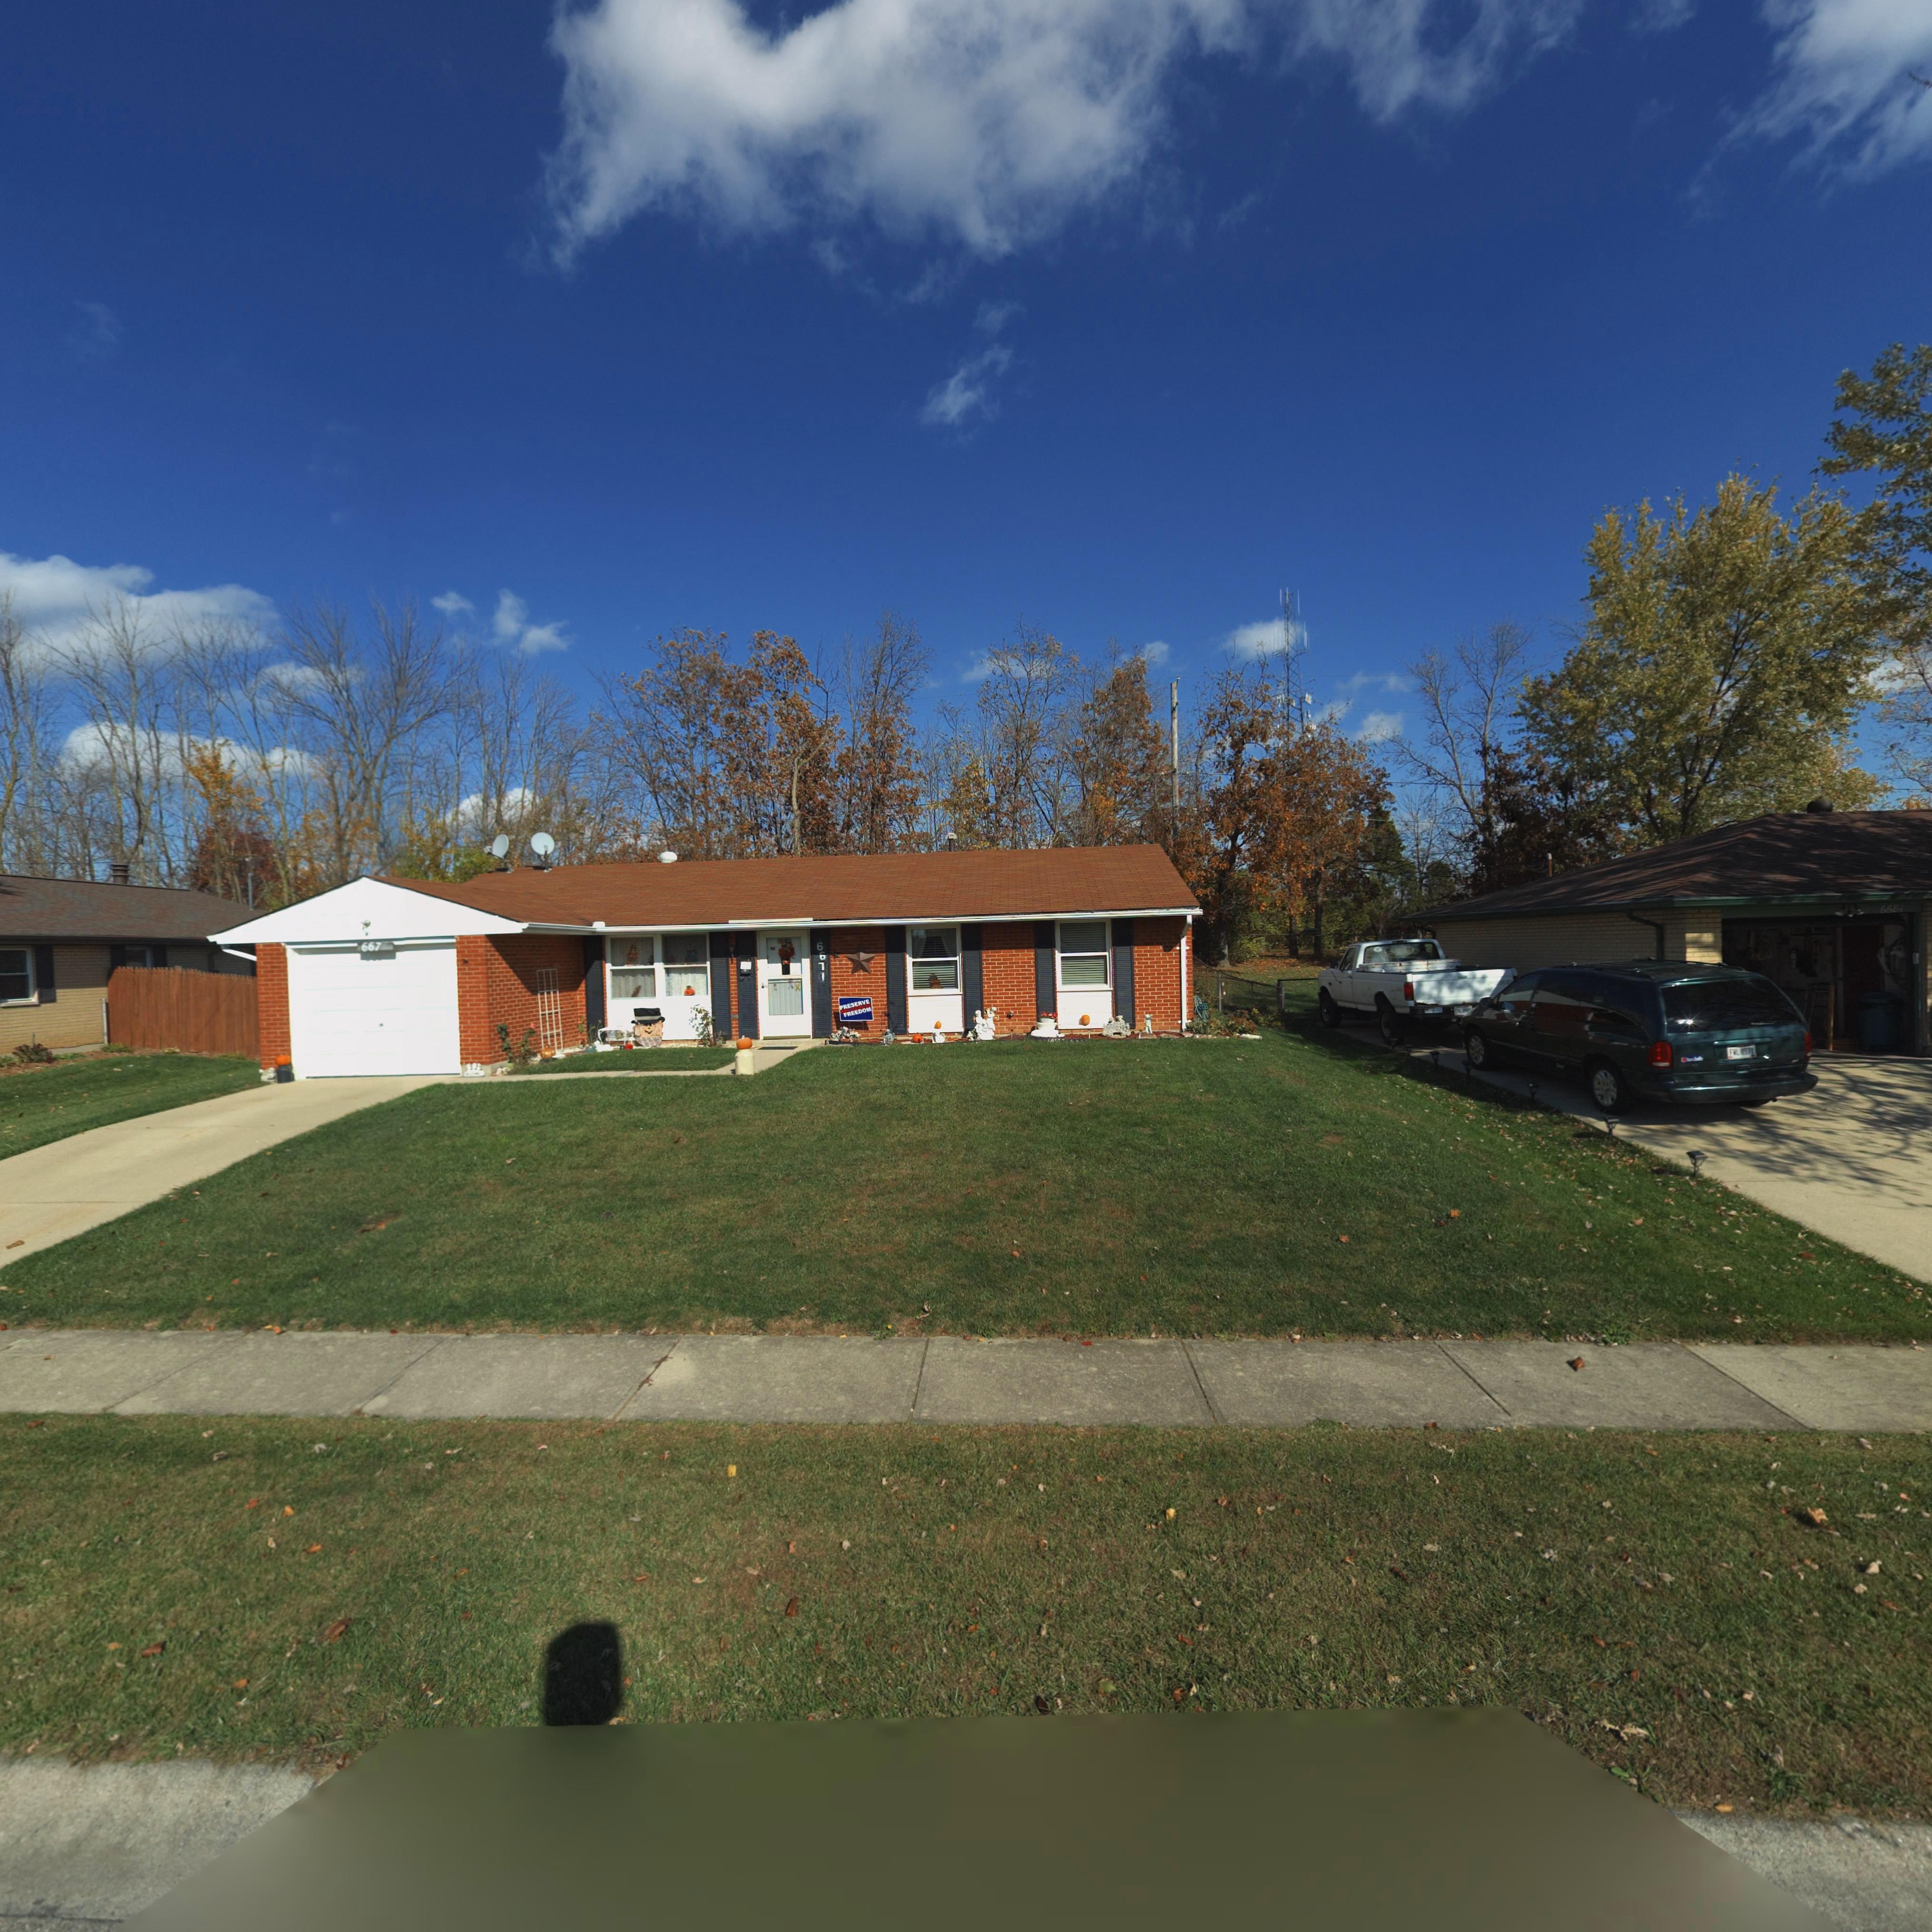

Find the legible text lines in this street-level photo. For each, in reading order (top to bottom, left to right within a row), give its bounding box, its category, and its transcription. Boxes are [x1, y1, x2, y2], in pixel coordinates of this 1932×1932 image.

[1879, 904, 1904, 914] StreetNumber: 6681
[360, 941, 384, 953] StreetNumber: 667
[816, 941, 827, 982] StreetNumber: 6671